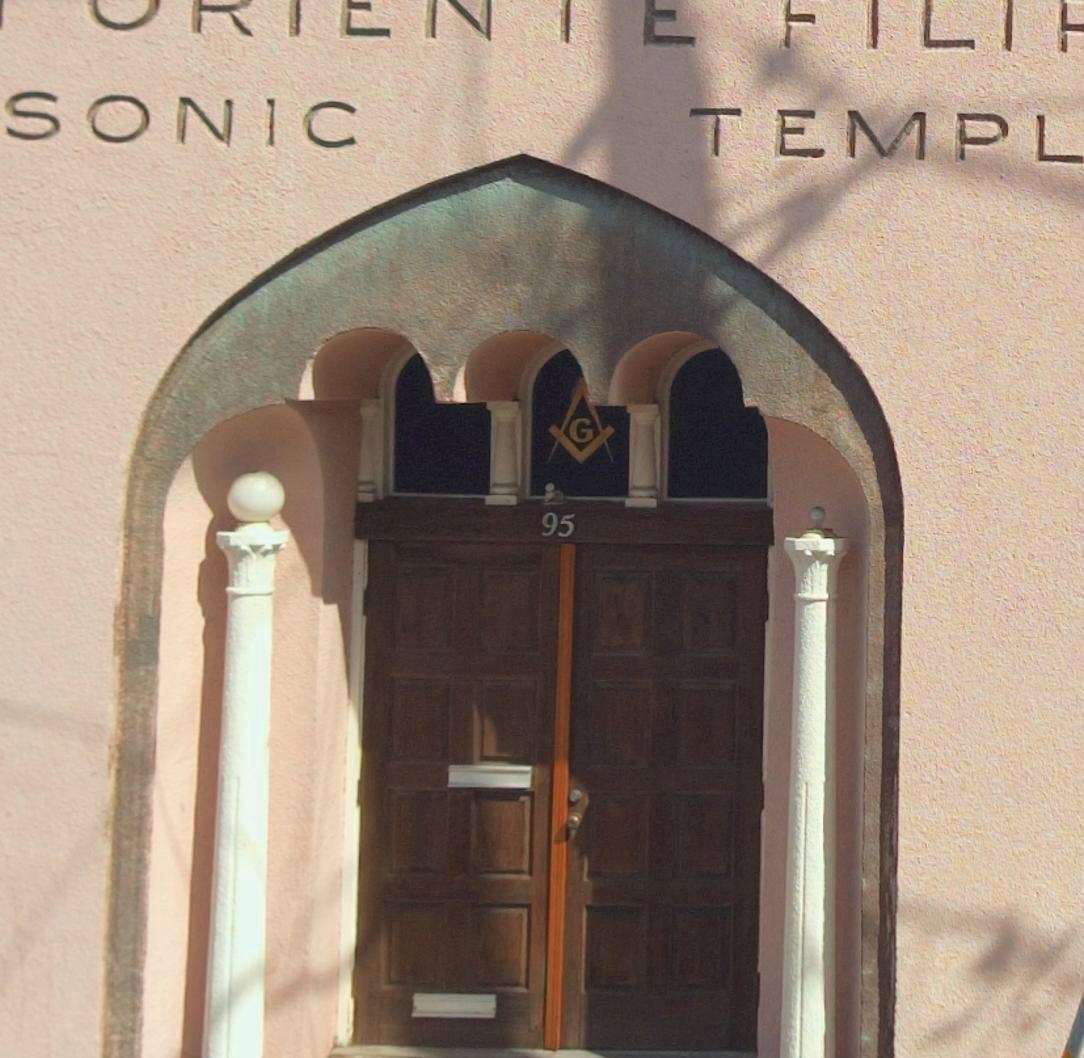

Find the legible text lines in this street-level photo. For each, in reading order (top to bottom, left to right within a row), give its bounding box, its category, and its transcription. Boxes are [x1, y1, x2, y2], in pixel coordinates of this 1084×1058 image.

[0, 83, 367, 156] None: SONIC
[682, 98, 1084, 168] None: TEMPL
[565, 413, 598, 447] None: G
[538, 509, 580, 542] StreetNumber: 95